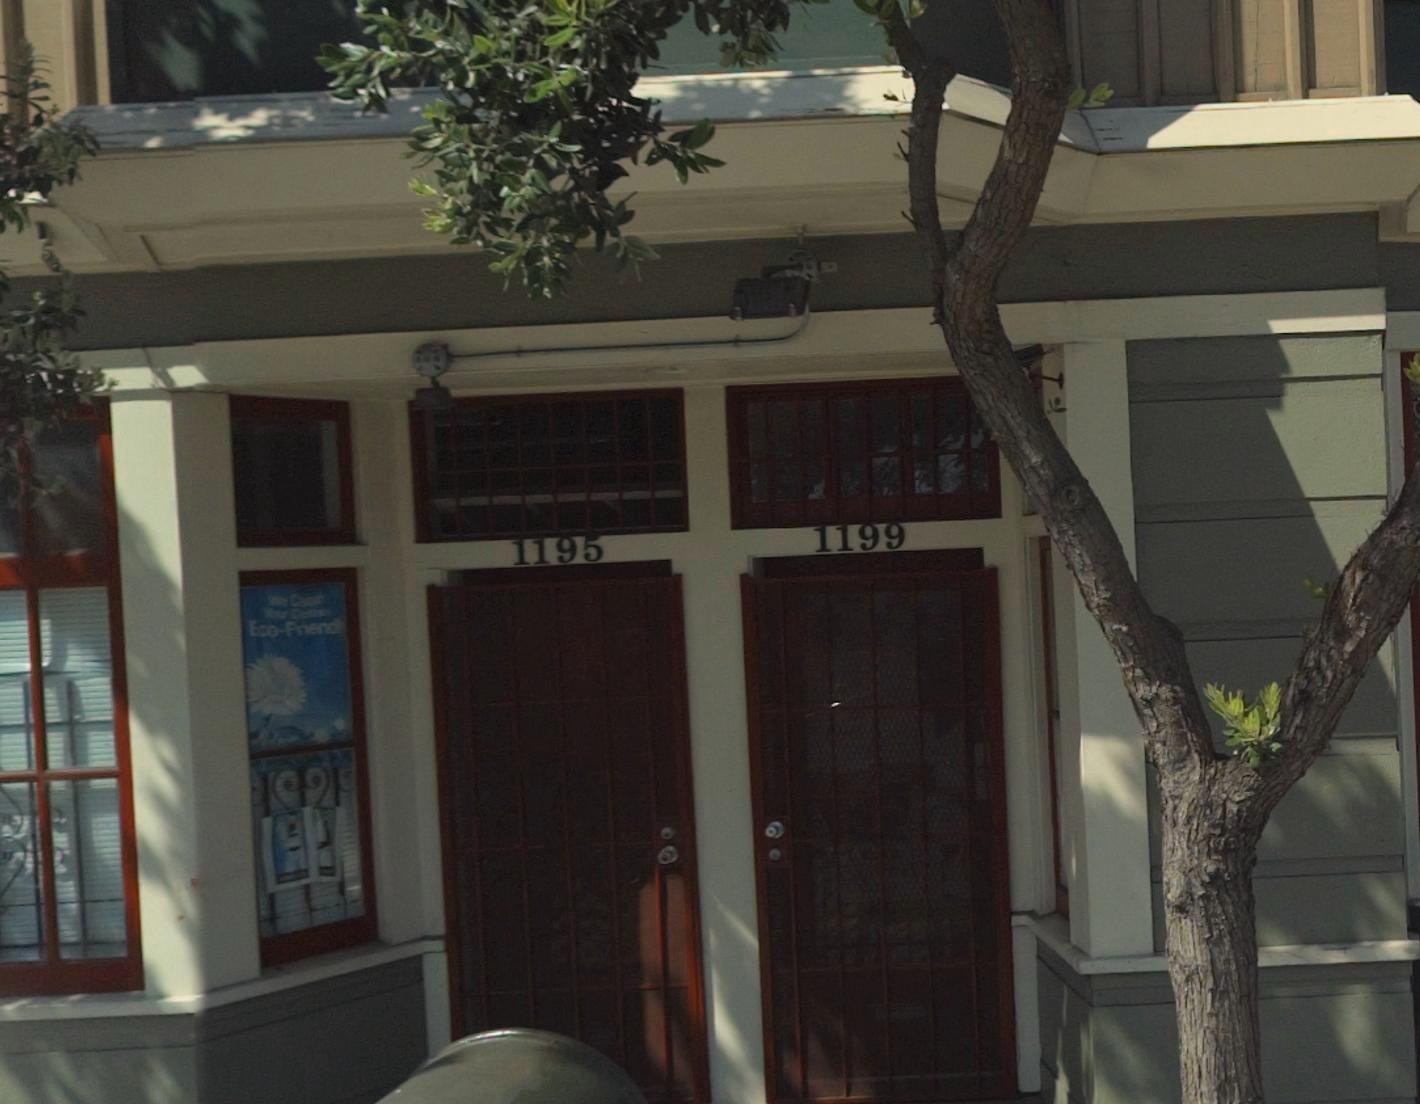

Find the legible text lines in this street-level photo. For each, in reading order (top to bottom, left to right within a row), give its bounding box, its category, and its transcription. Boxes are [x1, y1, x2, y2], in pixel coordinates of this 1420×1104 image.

[509, 533, 606, 566] StreetNumber: 1195
[810, 521, 907, 553] StreetNumber: 1199
[247, 617, 339, 640] None: Eco-Friend